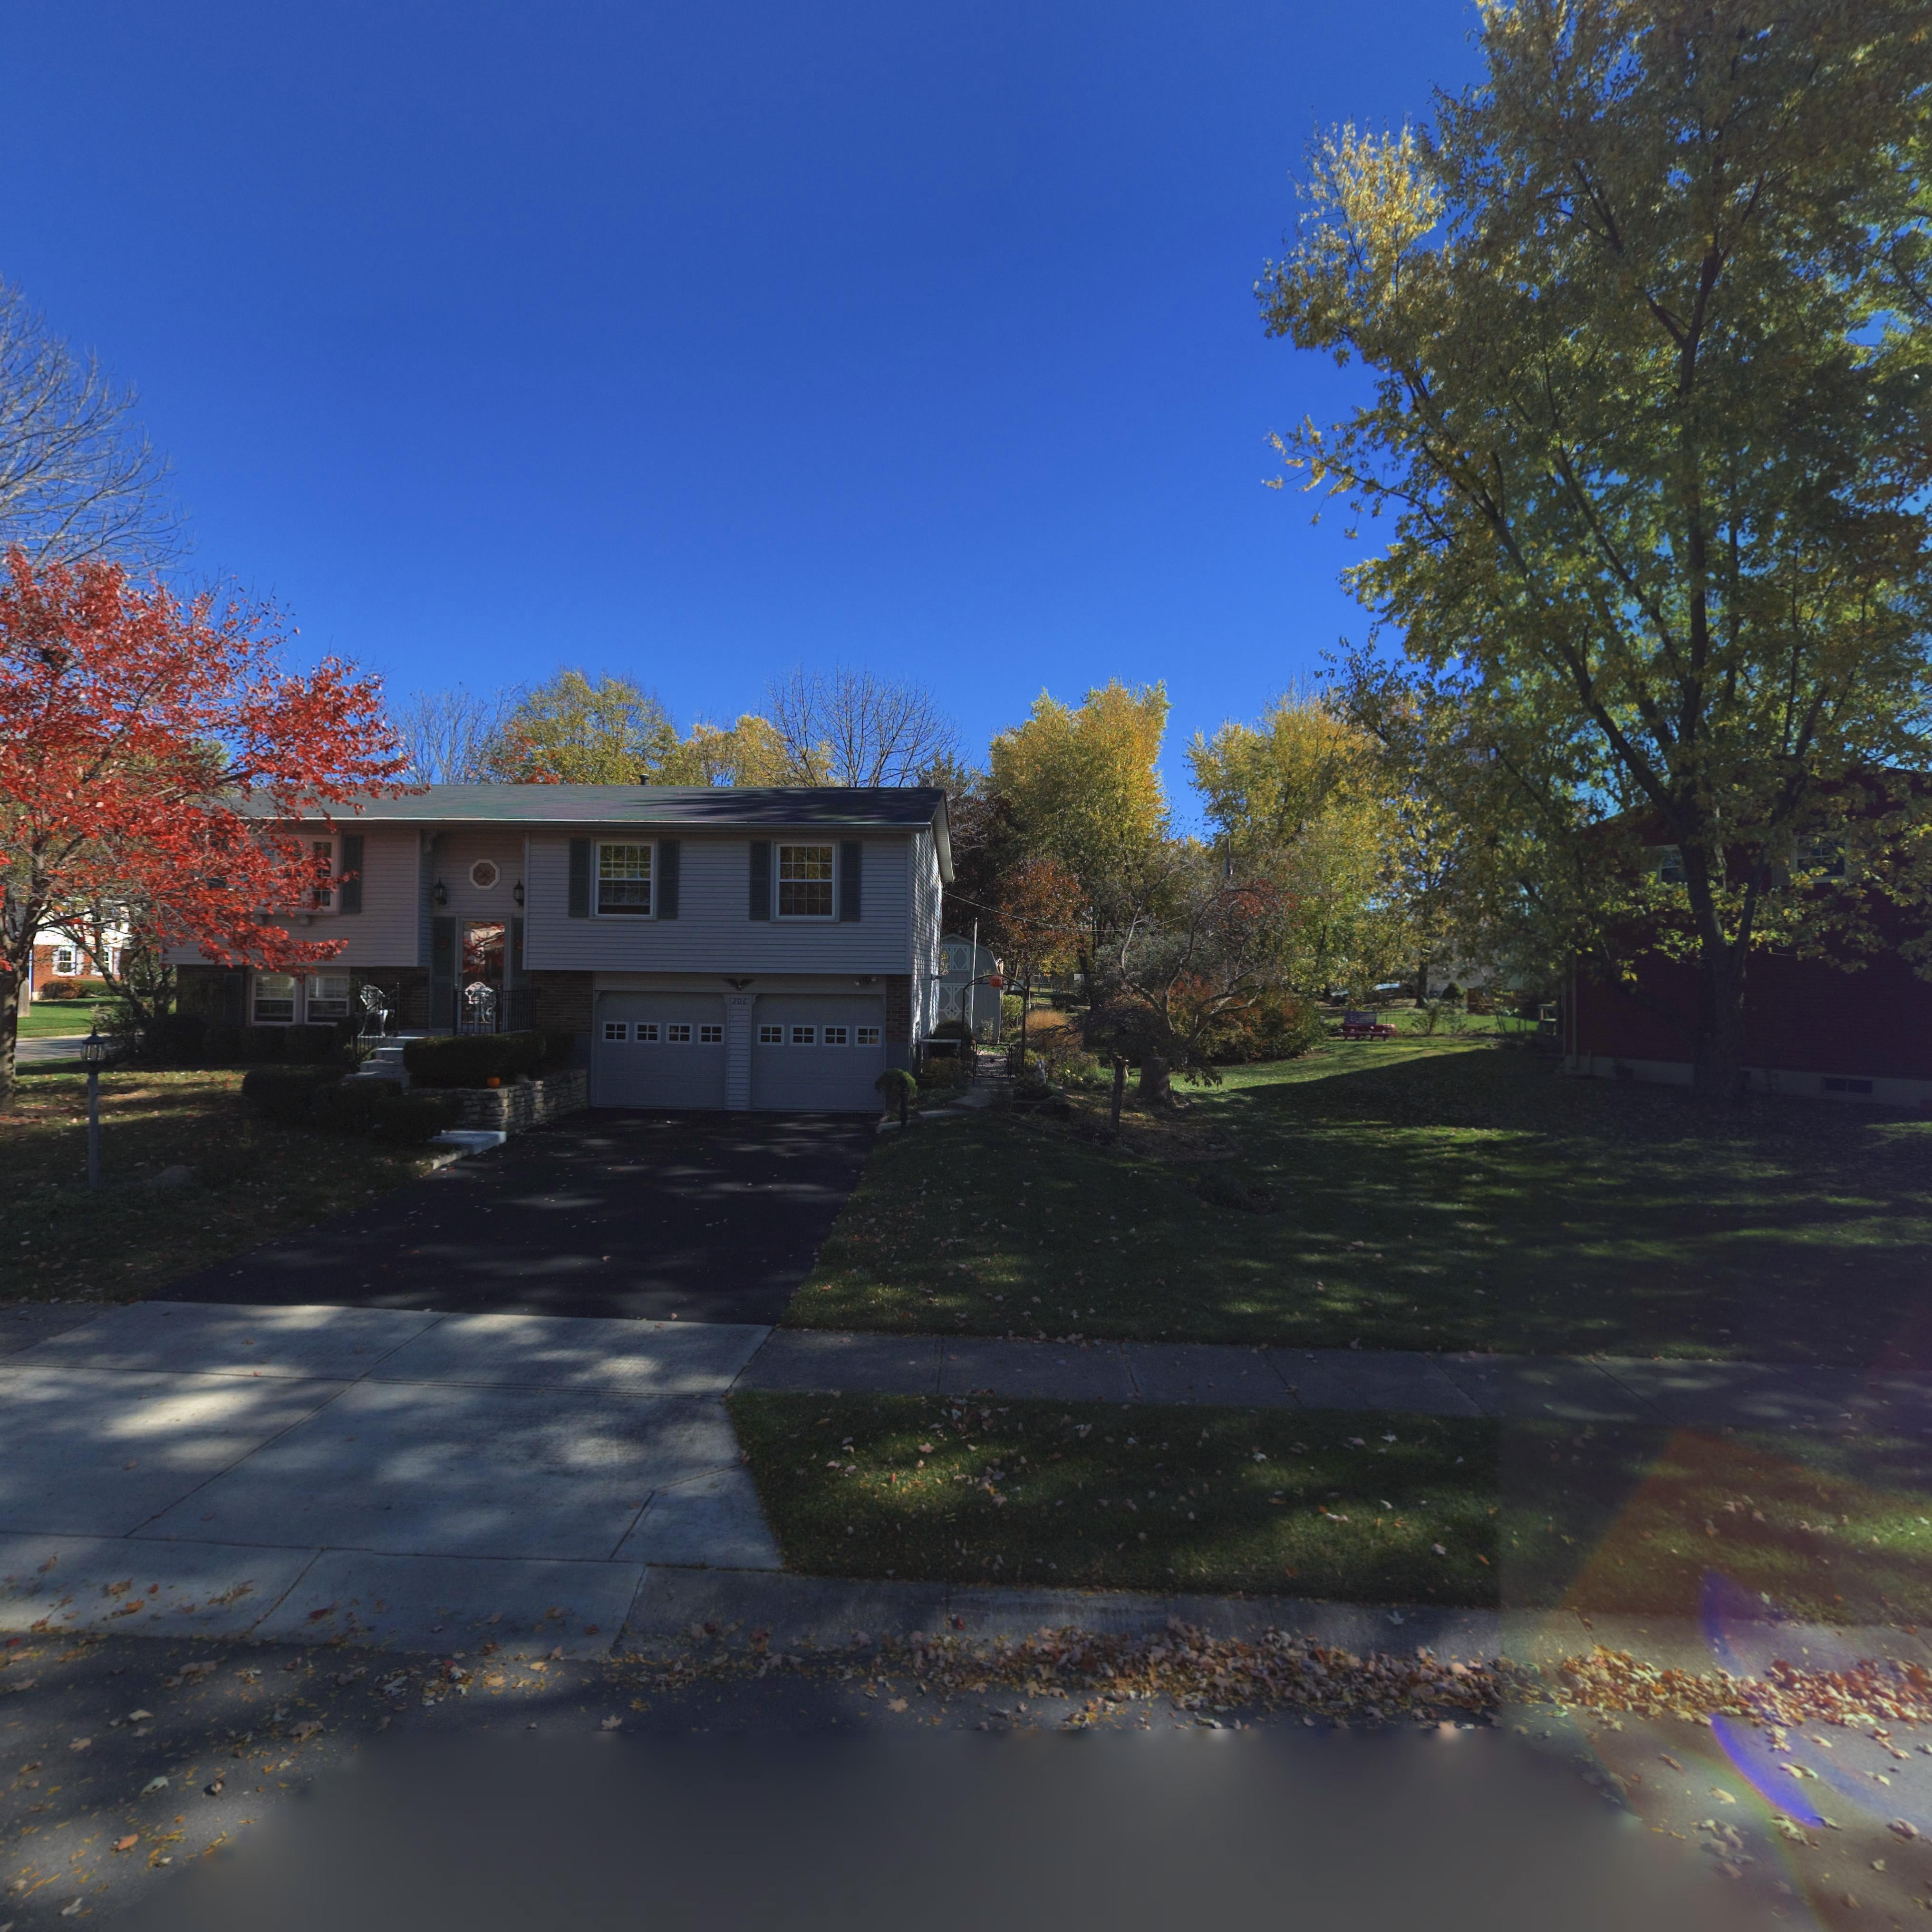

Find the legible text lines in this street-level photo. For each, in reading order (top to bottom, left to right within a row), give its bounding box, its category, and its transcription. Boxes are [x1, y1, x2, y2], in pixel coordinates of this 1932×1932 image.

[731, 997, 747, 1005] StreetNumber: 206